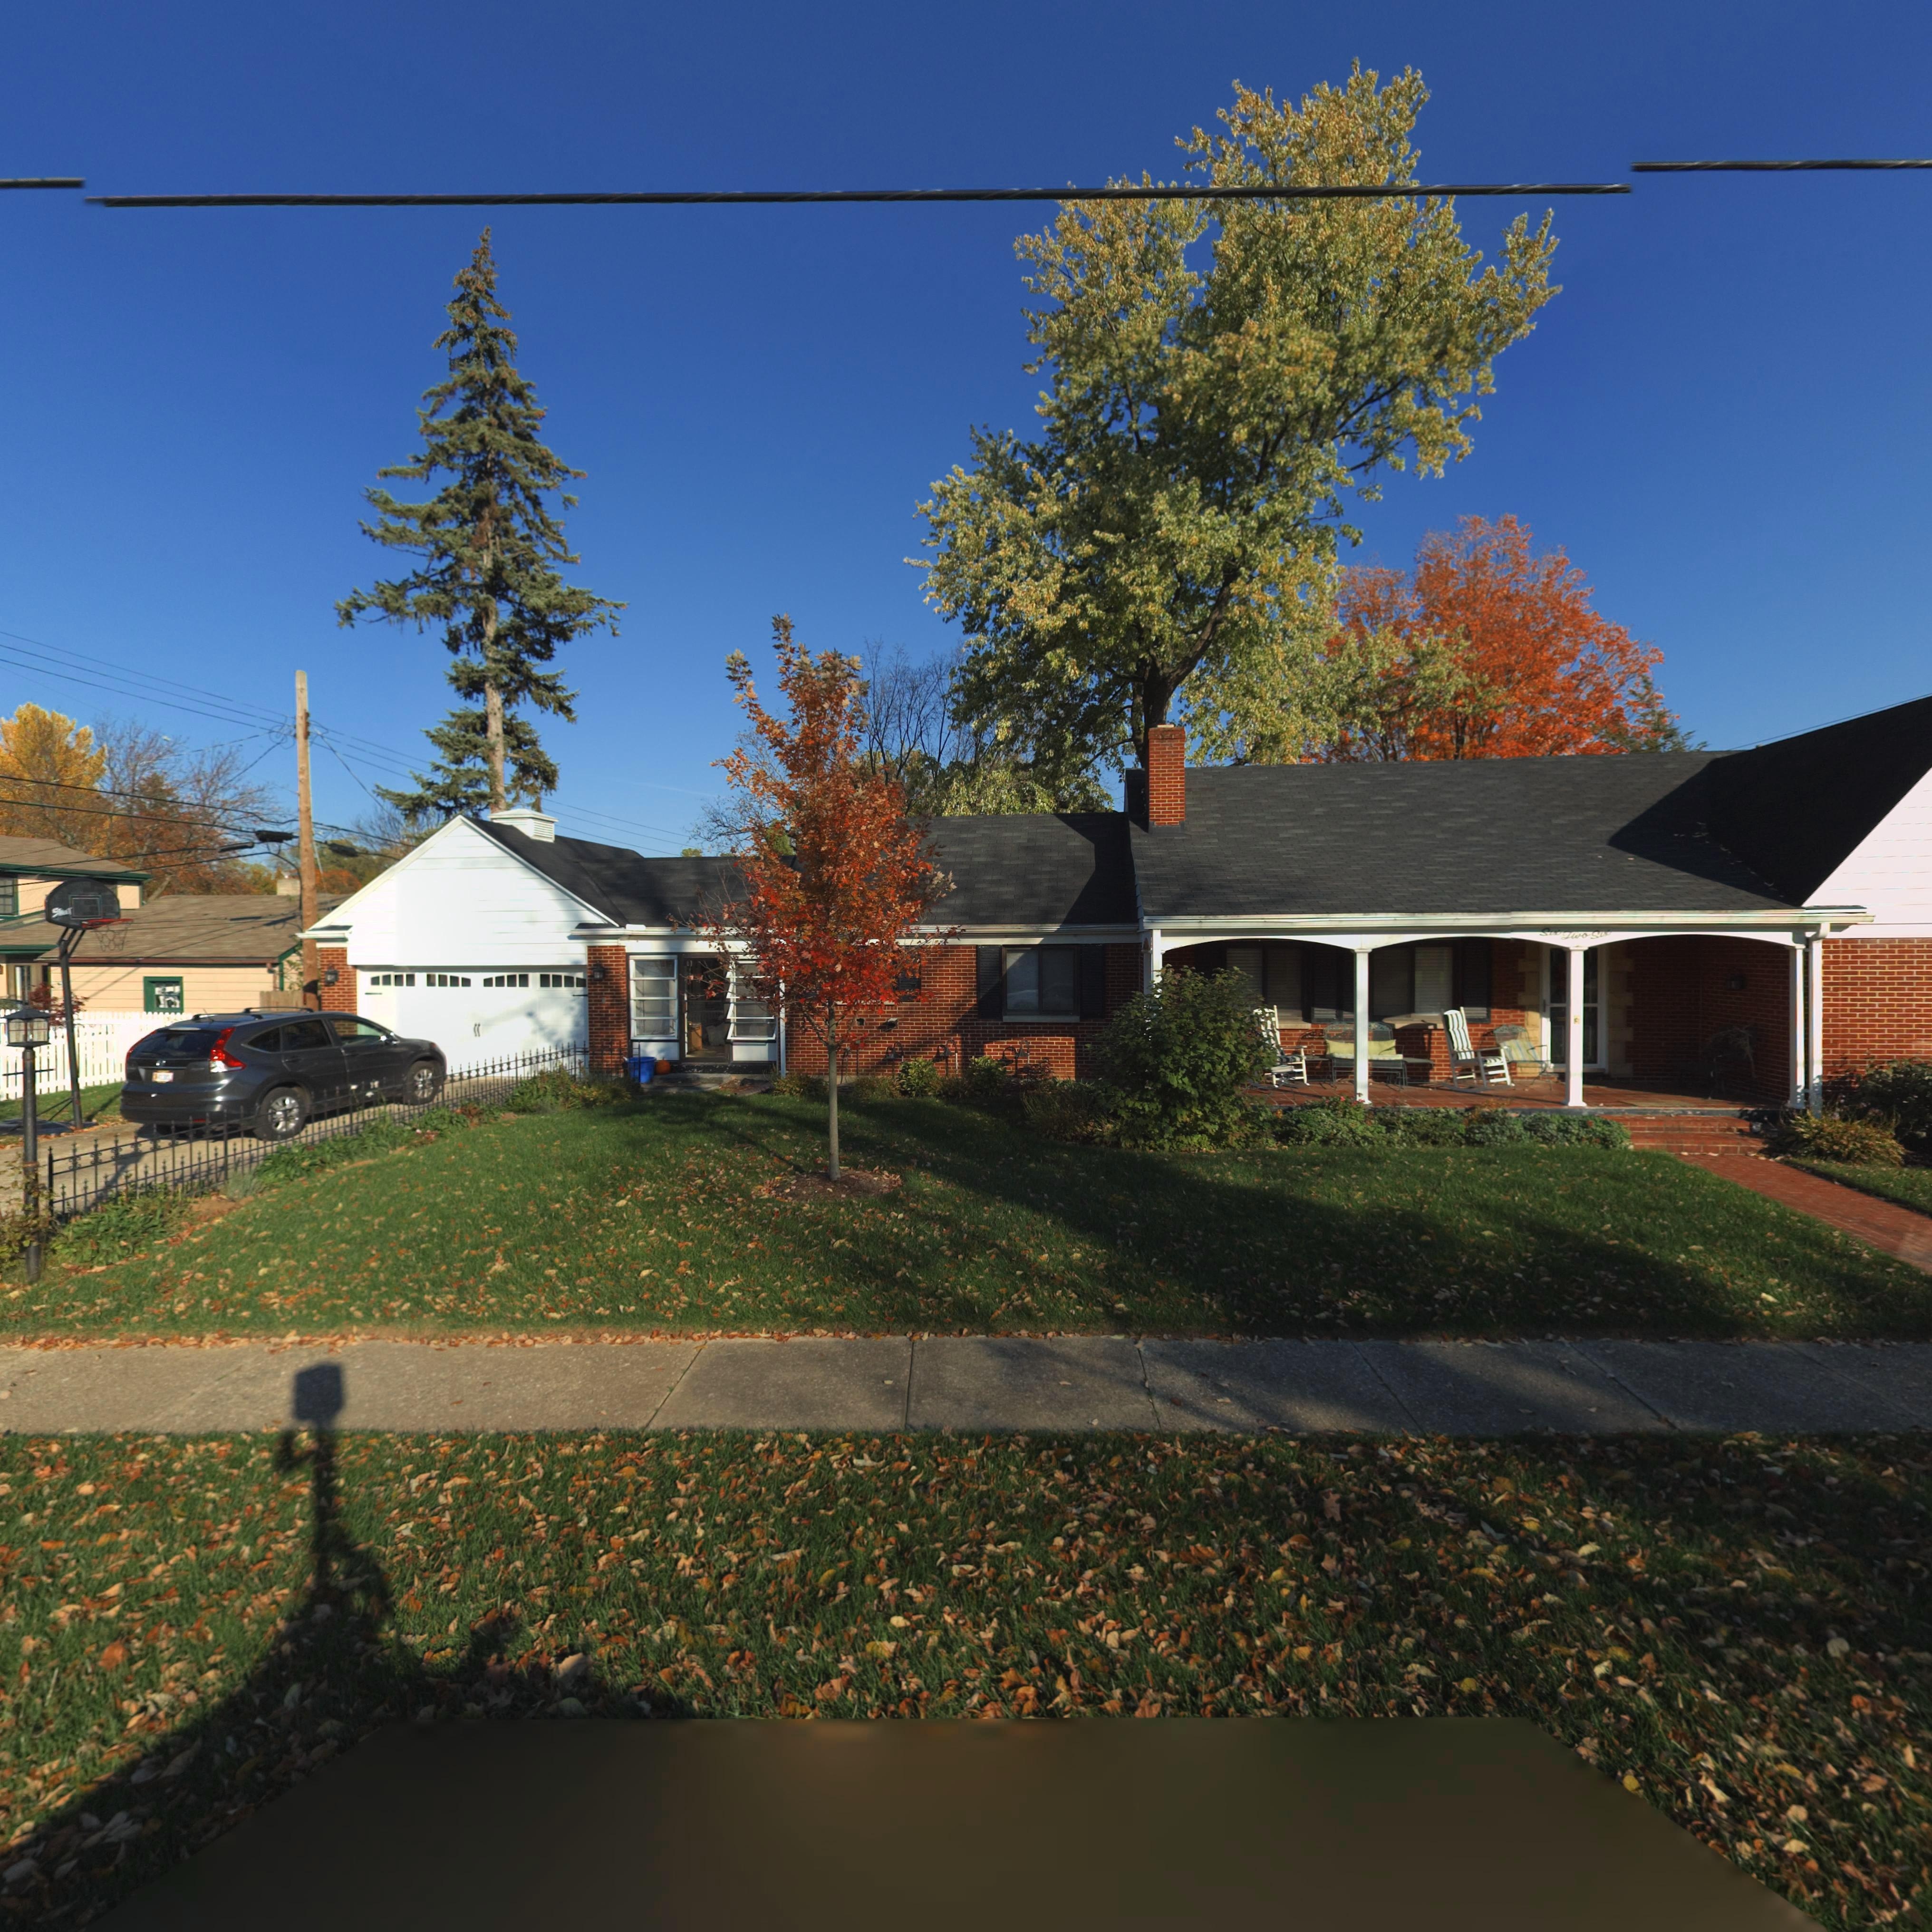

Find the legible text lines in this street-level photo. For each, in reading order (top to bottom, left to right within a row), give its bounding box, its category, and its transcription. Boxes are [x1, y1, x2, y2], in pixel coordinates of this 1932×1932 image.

[1538, 927, 1613, 940] StreetNumber: Six Two Six